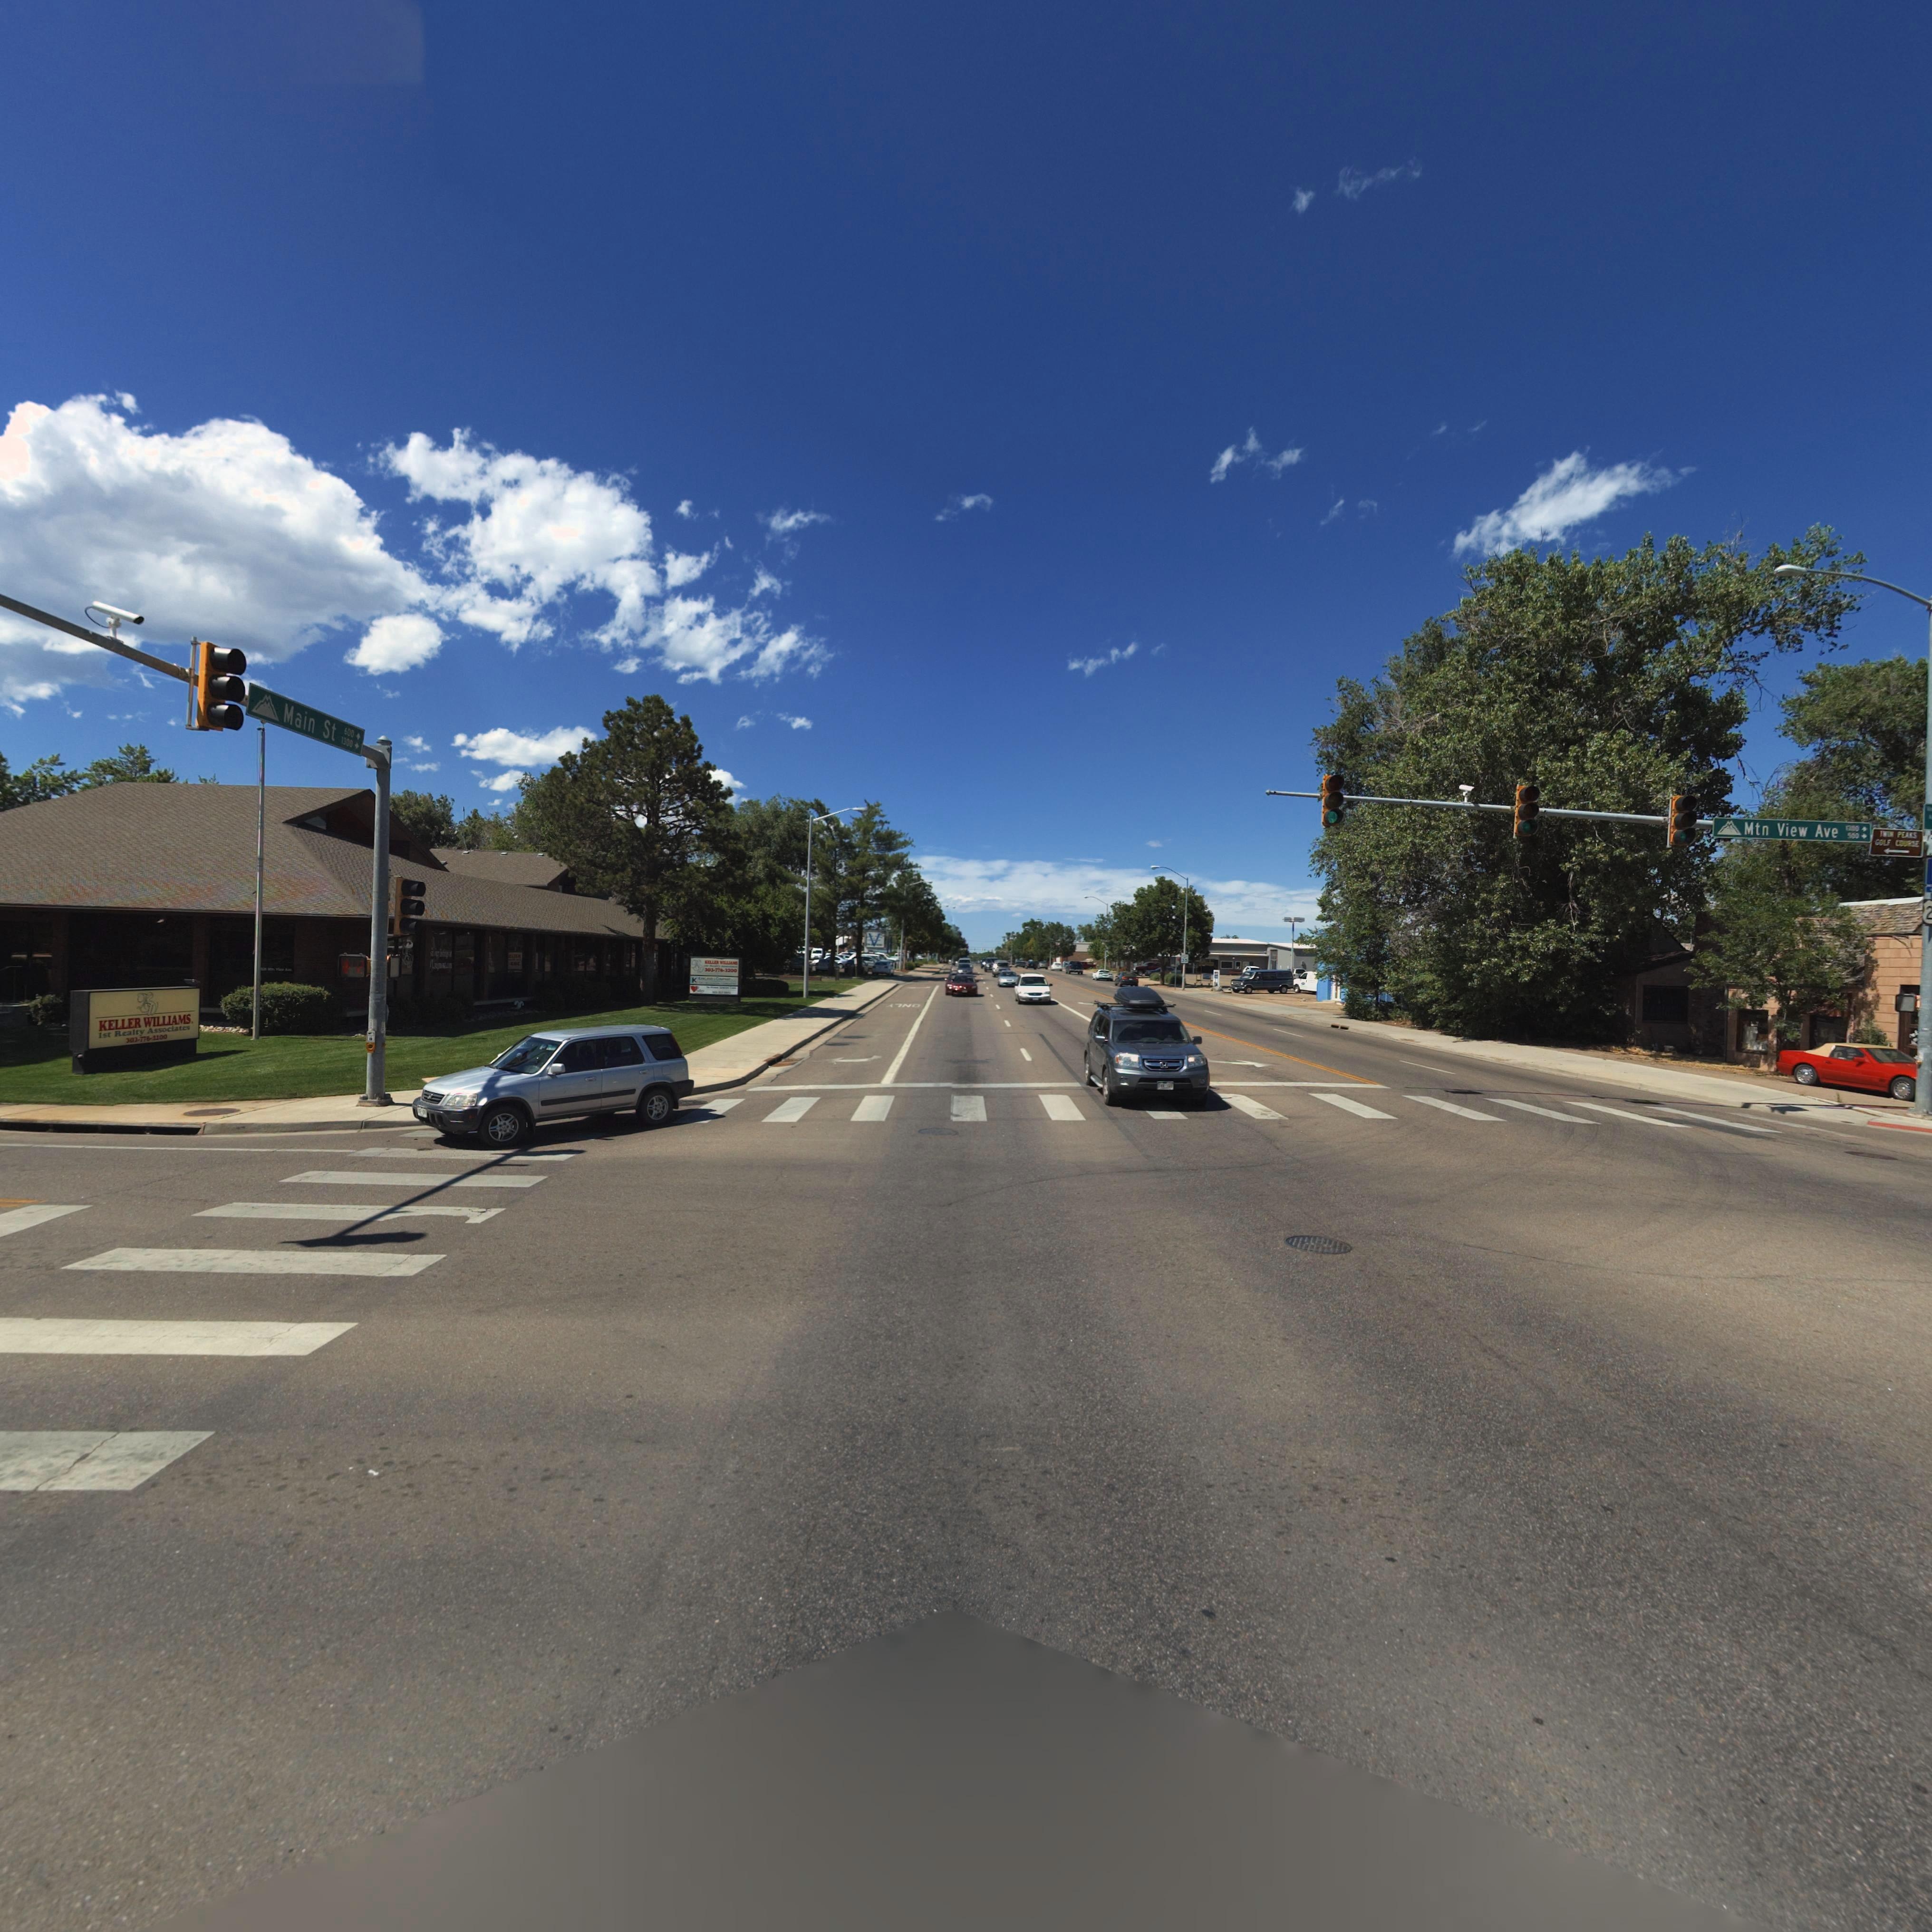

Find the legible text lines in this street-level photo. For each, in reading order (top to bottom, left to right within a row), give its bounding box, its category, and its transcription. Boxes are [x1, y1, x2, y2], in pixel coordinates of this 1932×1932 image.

[282, 701, 337, 742] StreetName: Main St
[343, 726, 355, 738] StreetNumberRange: 600
[340, 735, 353, 748] StreetNumberRange: 1300->
[1744, 821, 1838, 839] StreetName: Mtn View Ave
[1845, 825, 1860, 831] StreetNumberRange: 1*00
[1847, 831, 1868, 839] StreetNumberRange: 500->
[704, 964, 737, 968] BusinessName: *** R****y A*********
[705, 959, 738, 965] BusinessName: KELLER WILLIAMS
[692, 976, 697, 983] BusinessName: K
[698, 976, 731, 981] BusinessName: K****** & CO*******
[138, 993, 154, 1009] BusinessName: K
[146, 1001, 158, 1015] BusinessName: W
[98, 1013, 192, 1031] BusinessName: KELLER WILLIAMS
[97, 1025, 191, 1039] BusinessName: 1st Realty Associates